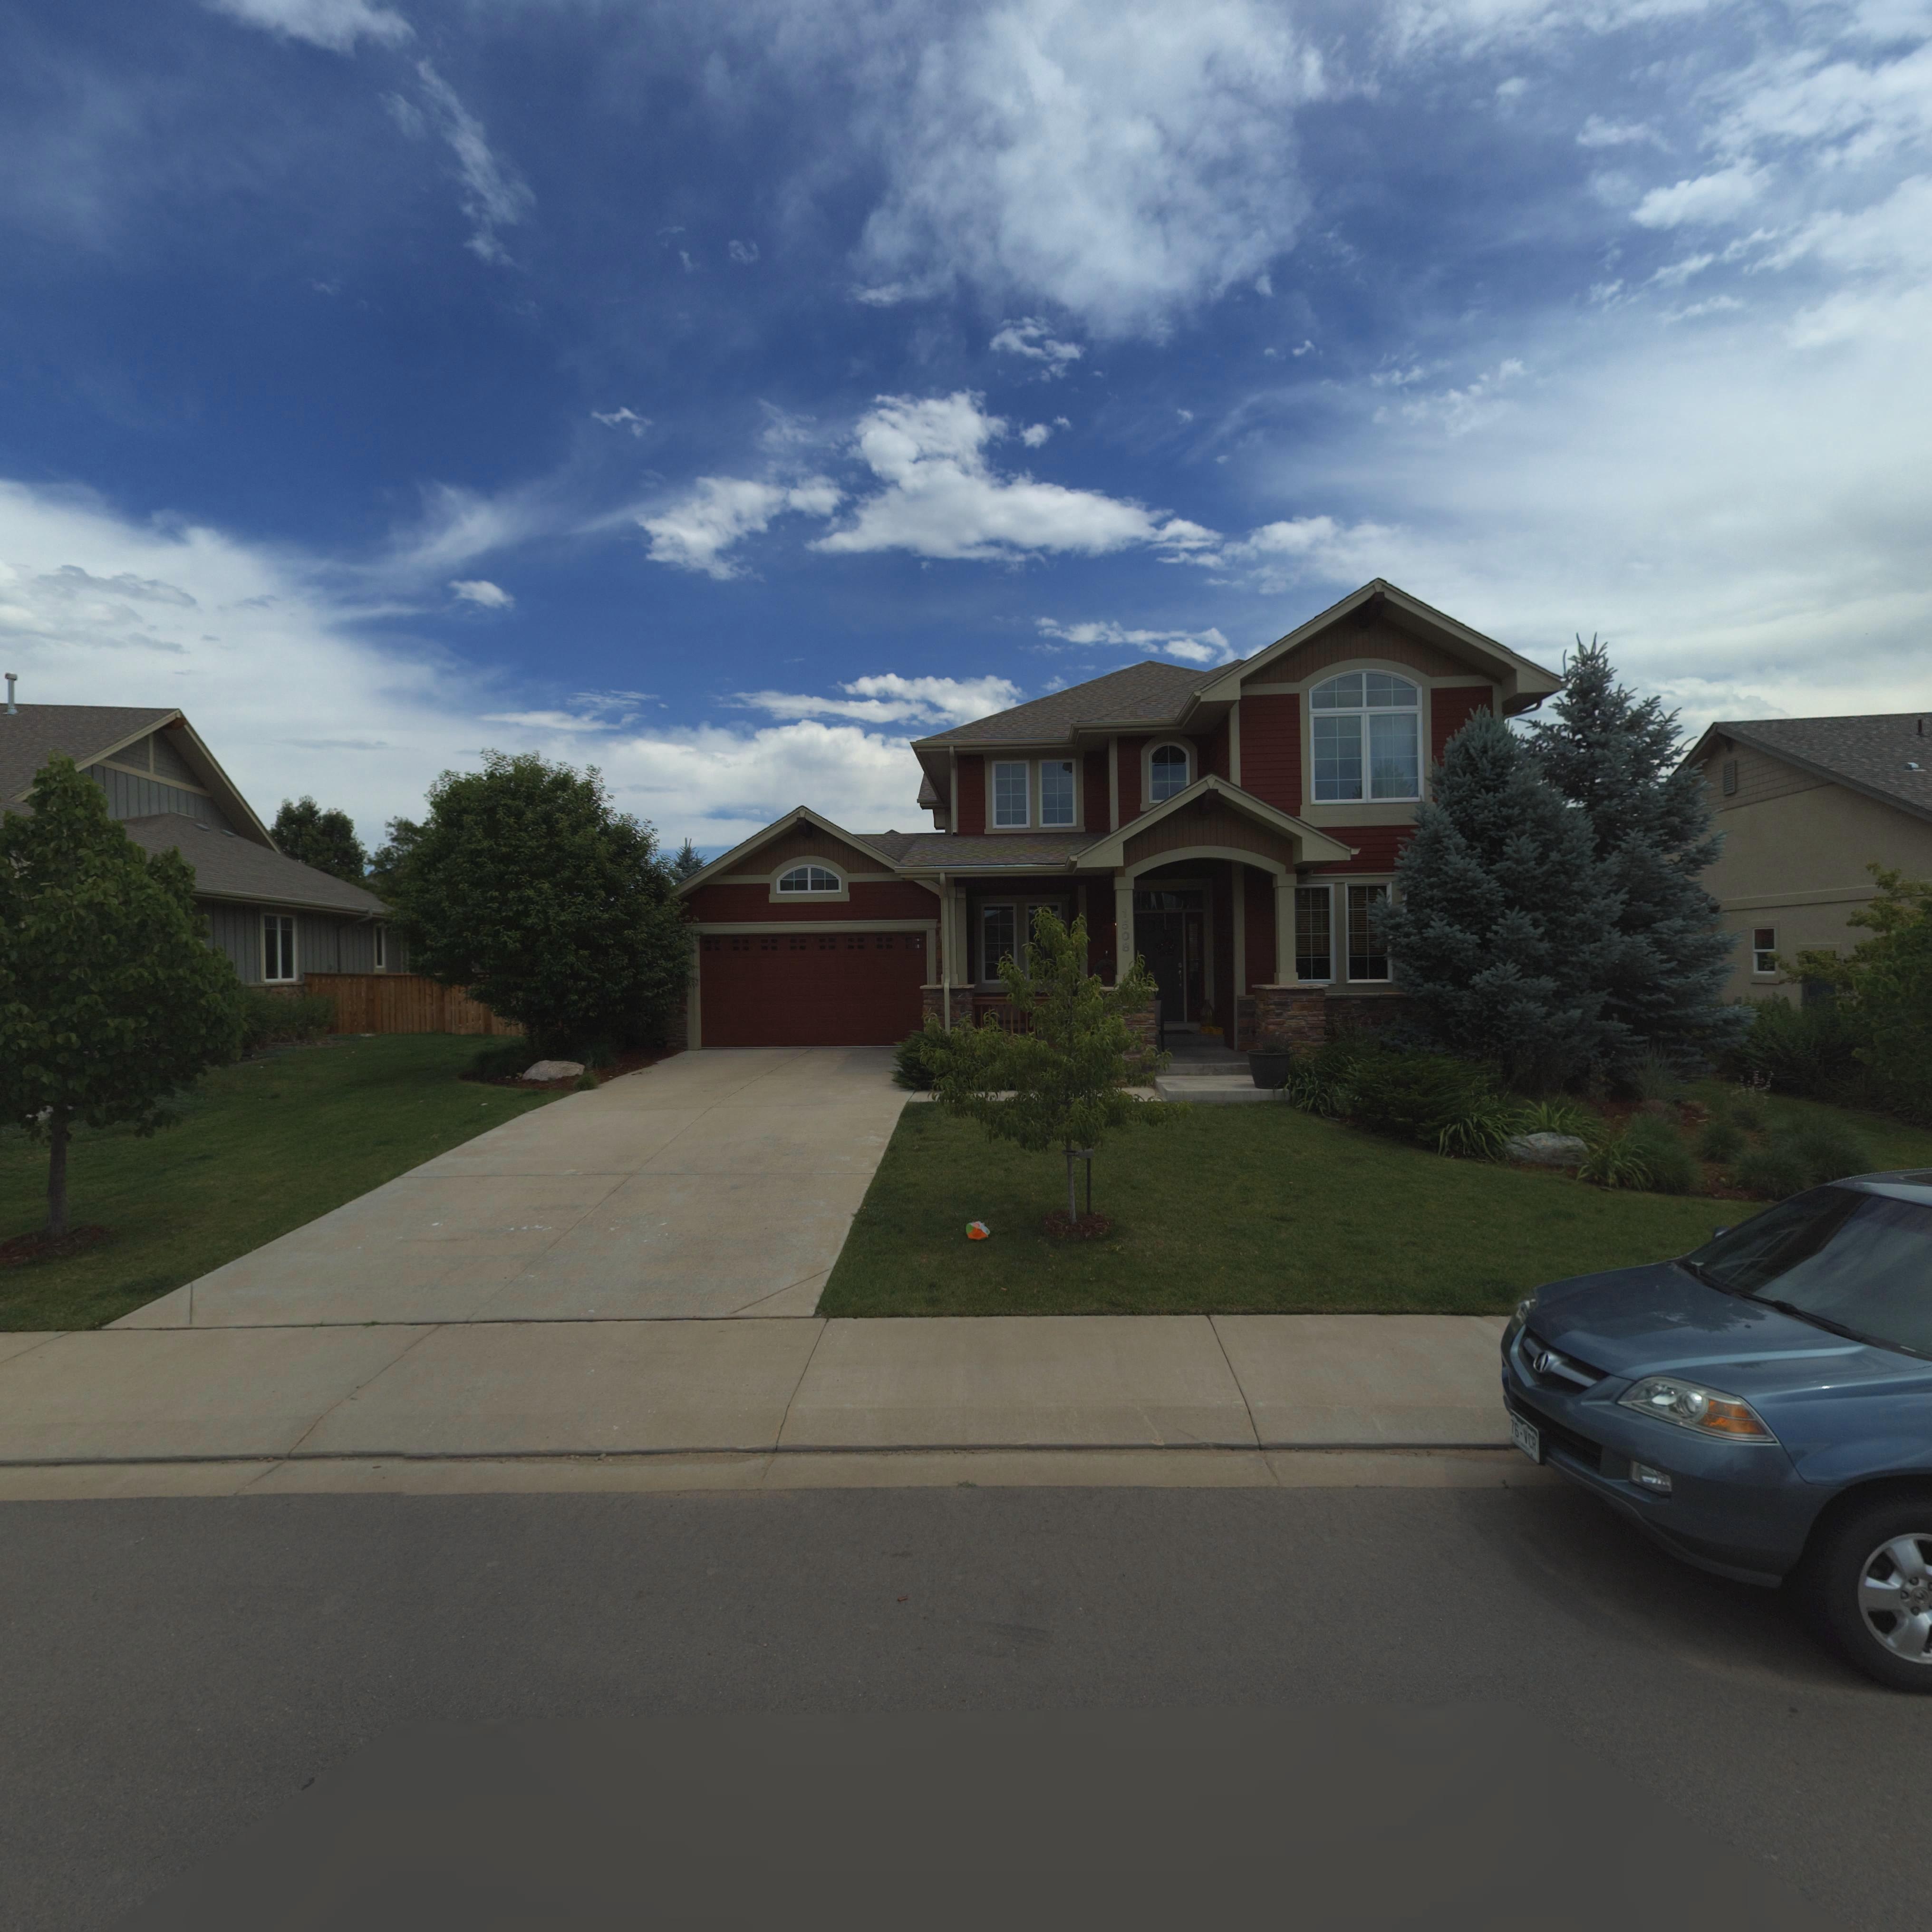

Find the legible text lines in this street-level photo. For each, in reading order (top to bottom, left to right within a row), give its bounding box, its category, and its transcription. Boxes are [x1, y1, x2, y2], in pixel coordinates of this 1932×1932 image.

[1121, 908, 1130, 952] StreetNumber: 1508